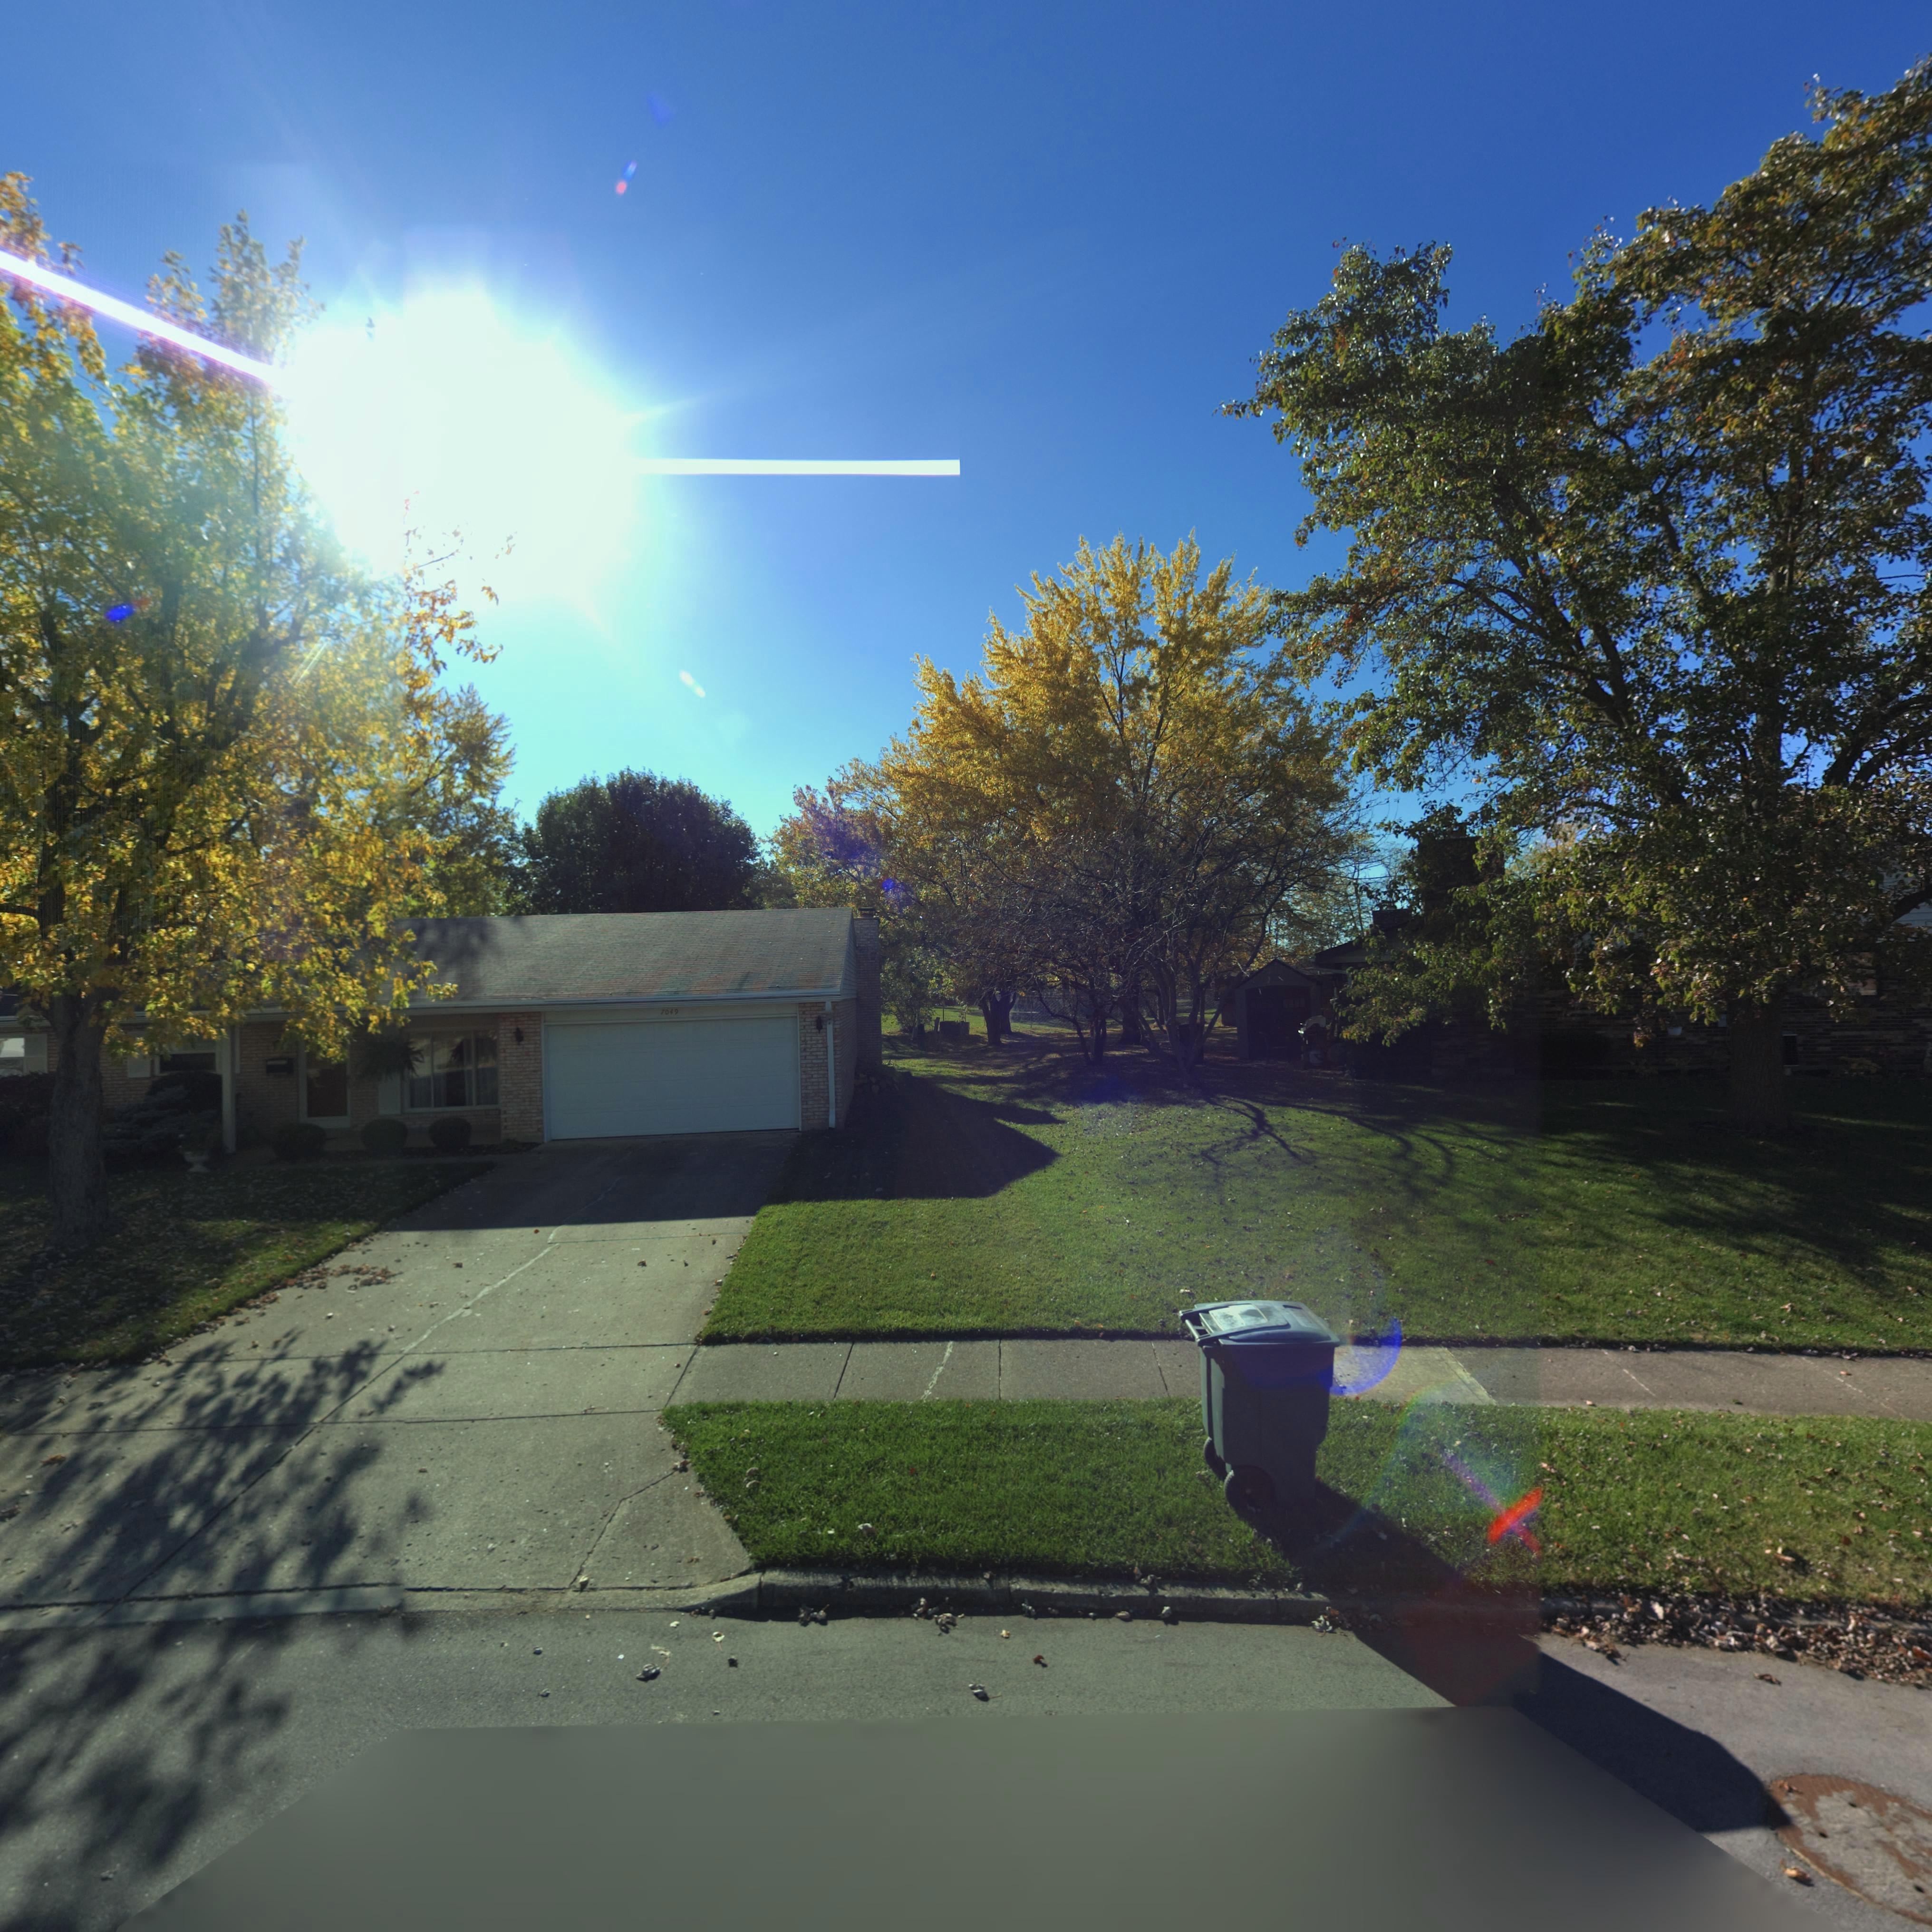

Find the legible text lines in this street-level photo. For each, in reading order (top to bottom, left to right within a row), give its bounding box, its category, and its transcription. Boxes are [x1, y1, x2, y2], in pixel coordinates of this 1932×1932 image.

[660, 1008, 679, 1015] StreetNumber: 7049